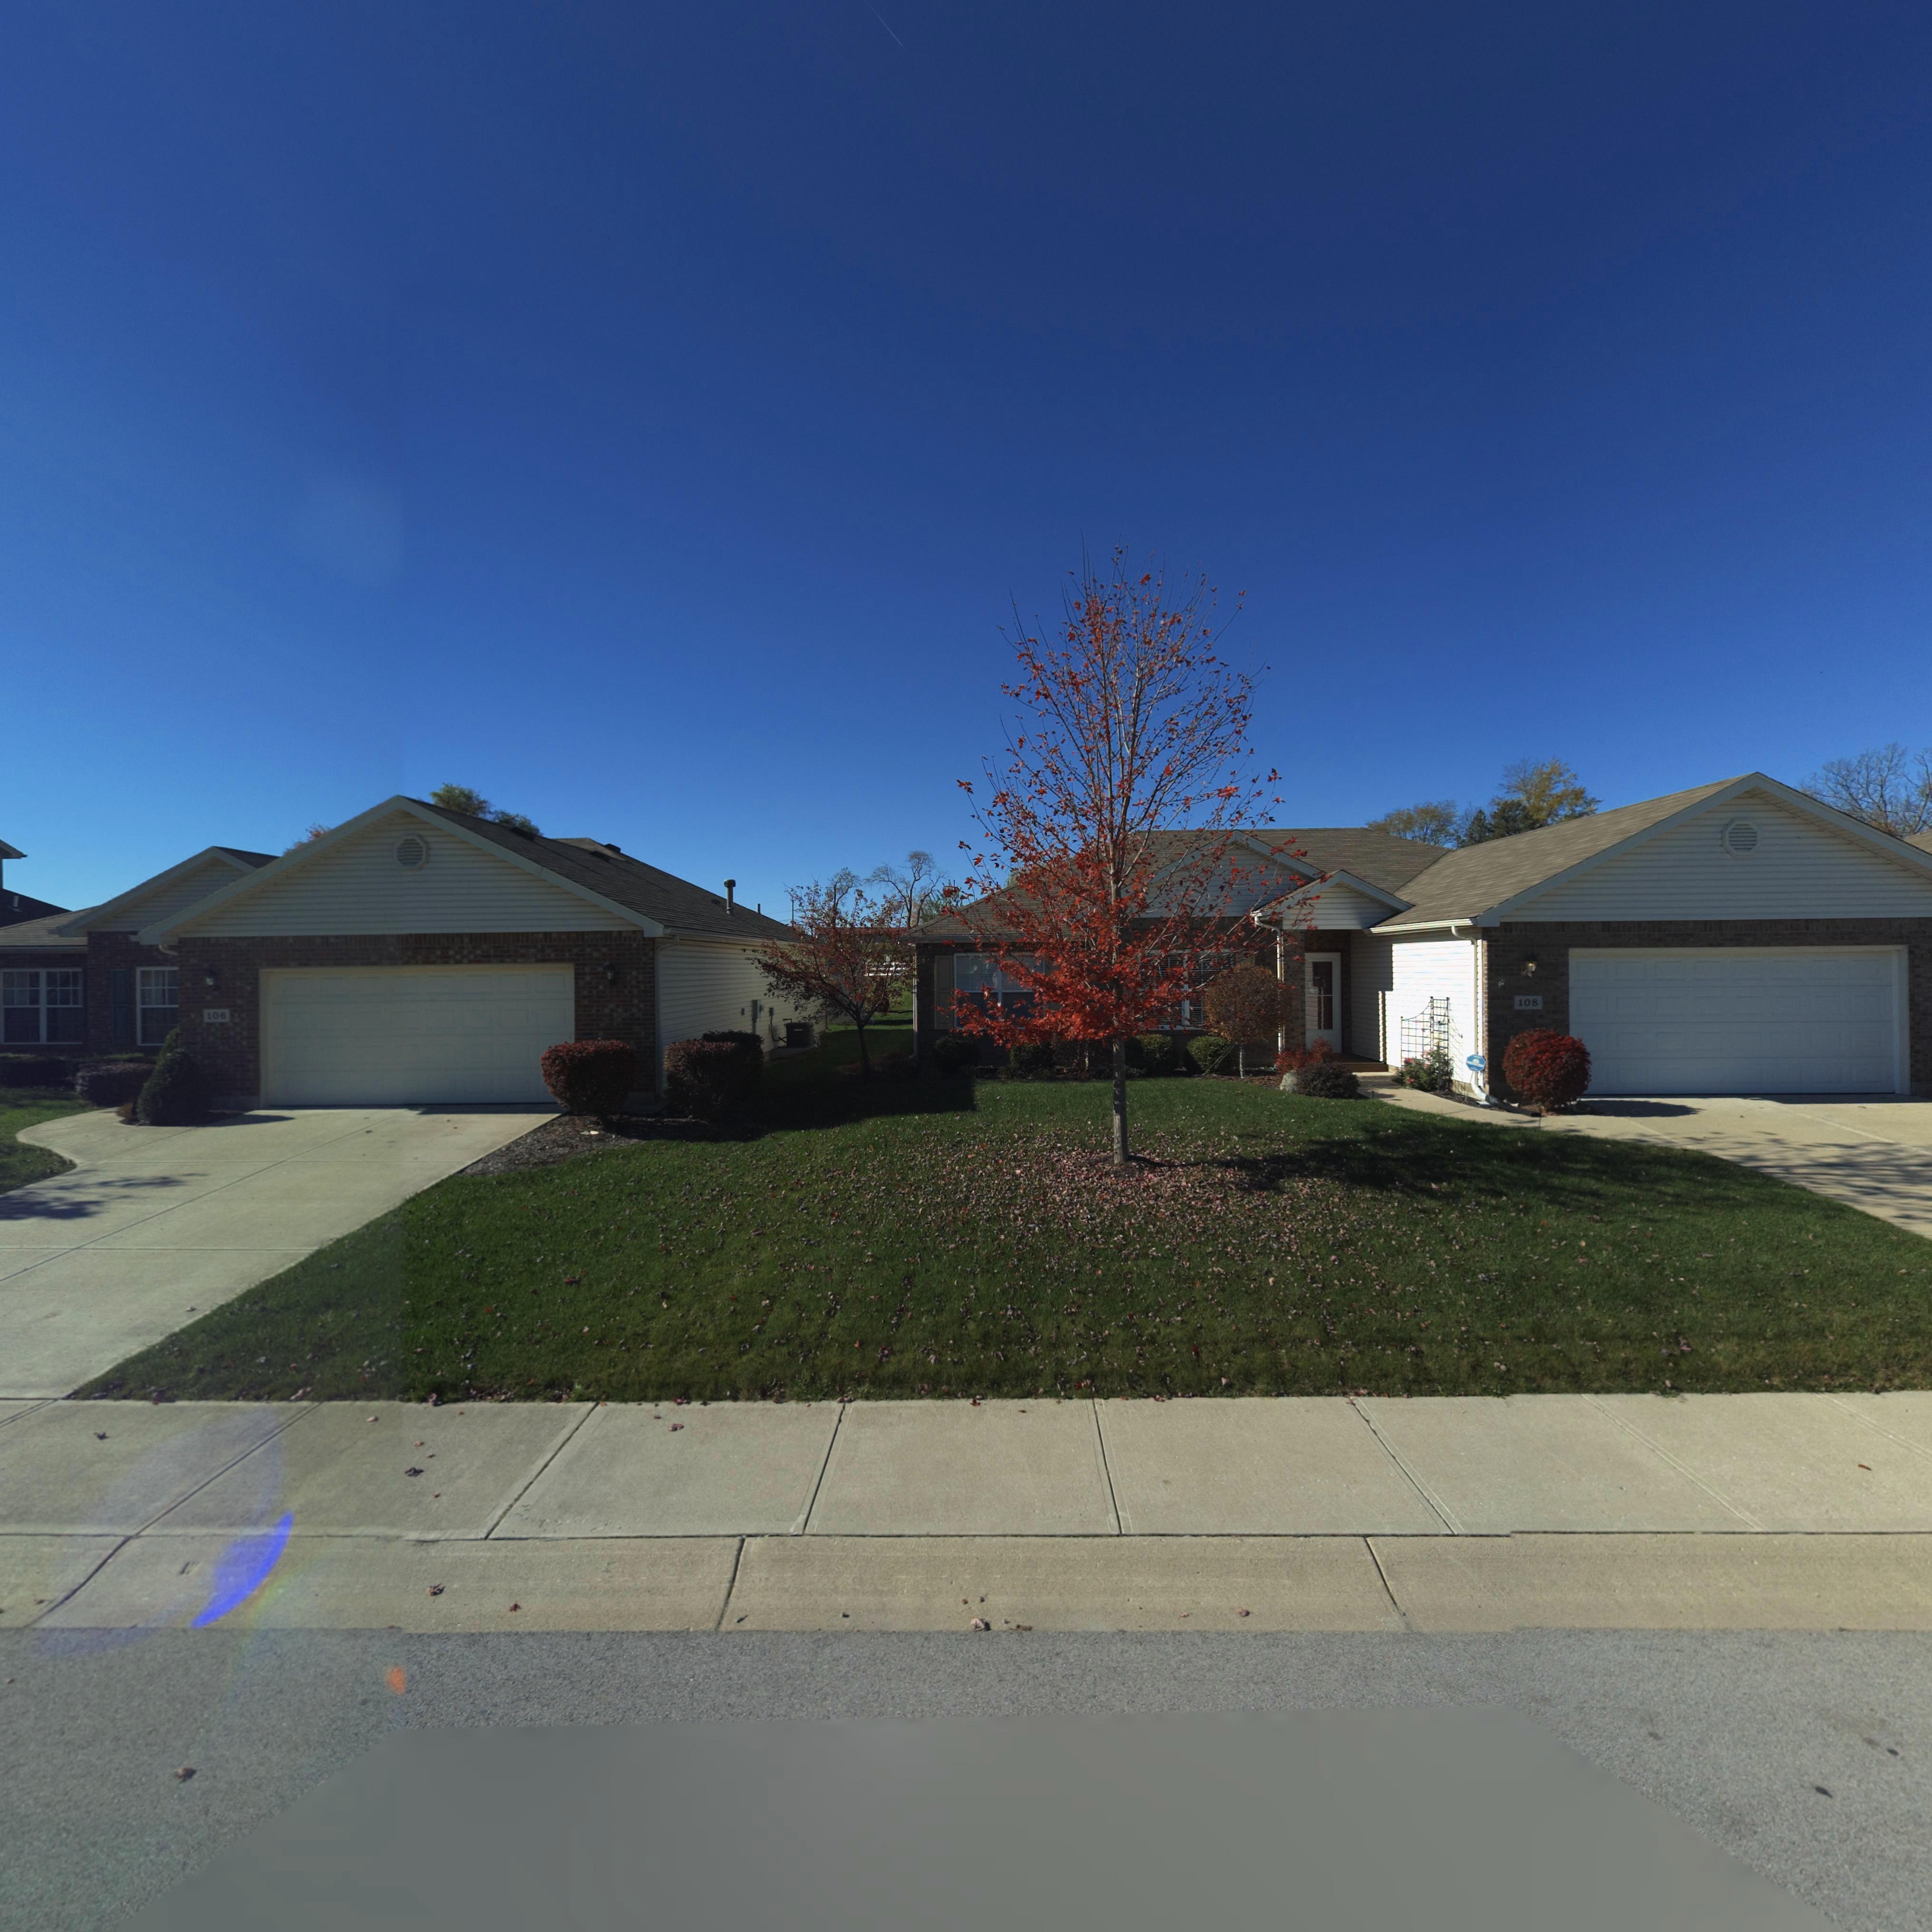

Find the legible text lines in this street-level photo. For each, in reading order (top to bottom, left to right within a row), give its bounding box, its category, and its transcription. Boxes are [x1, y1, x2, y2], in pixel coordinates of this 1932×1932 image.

[1517, 997, 1539, 1007] StreetNumber: 108
[207, 1011, 227, 1020] StreetNumber: 106